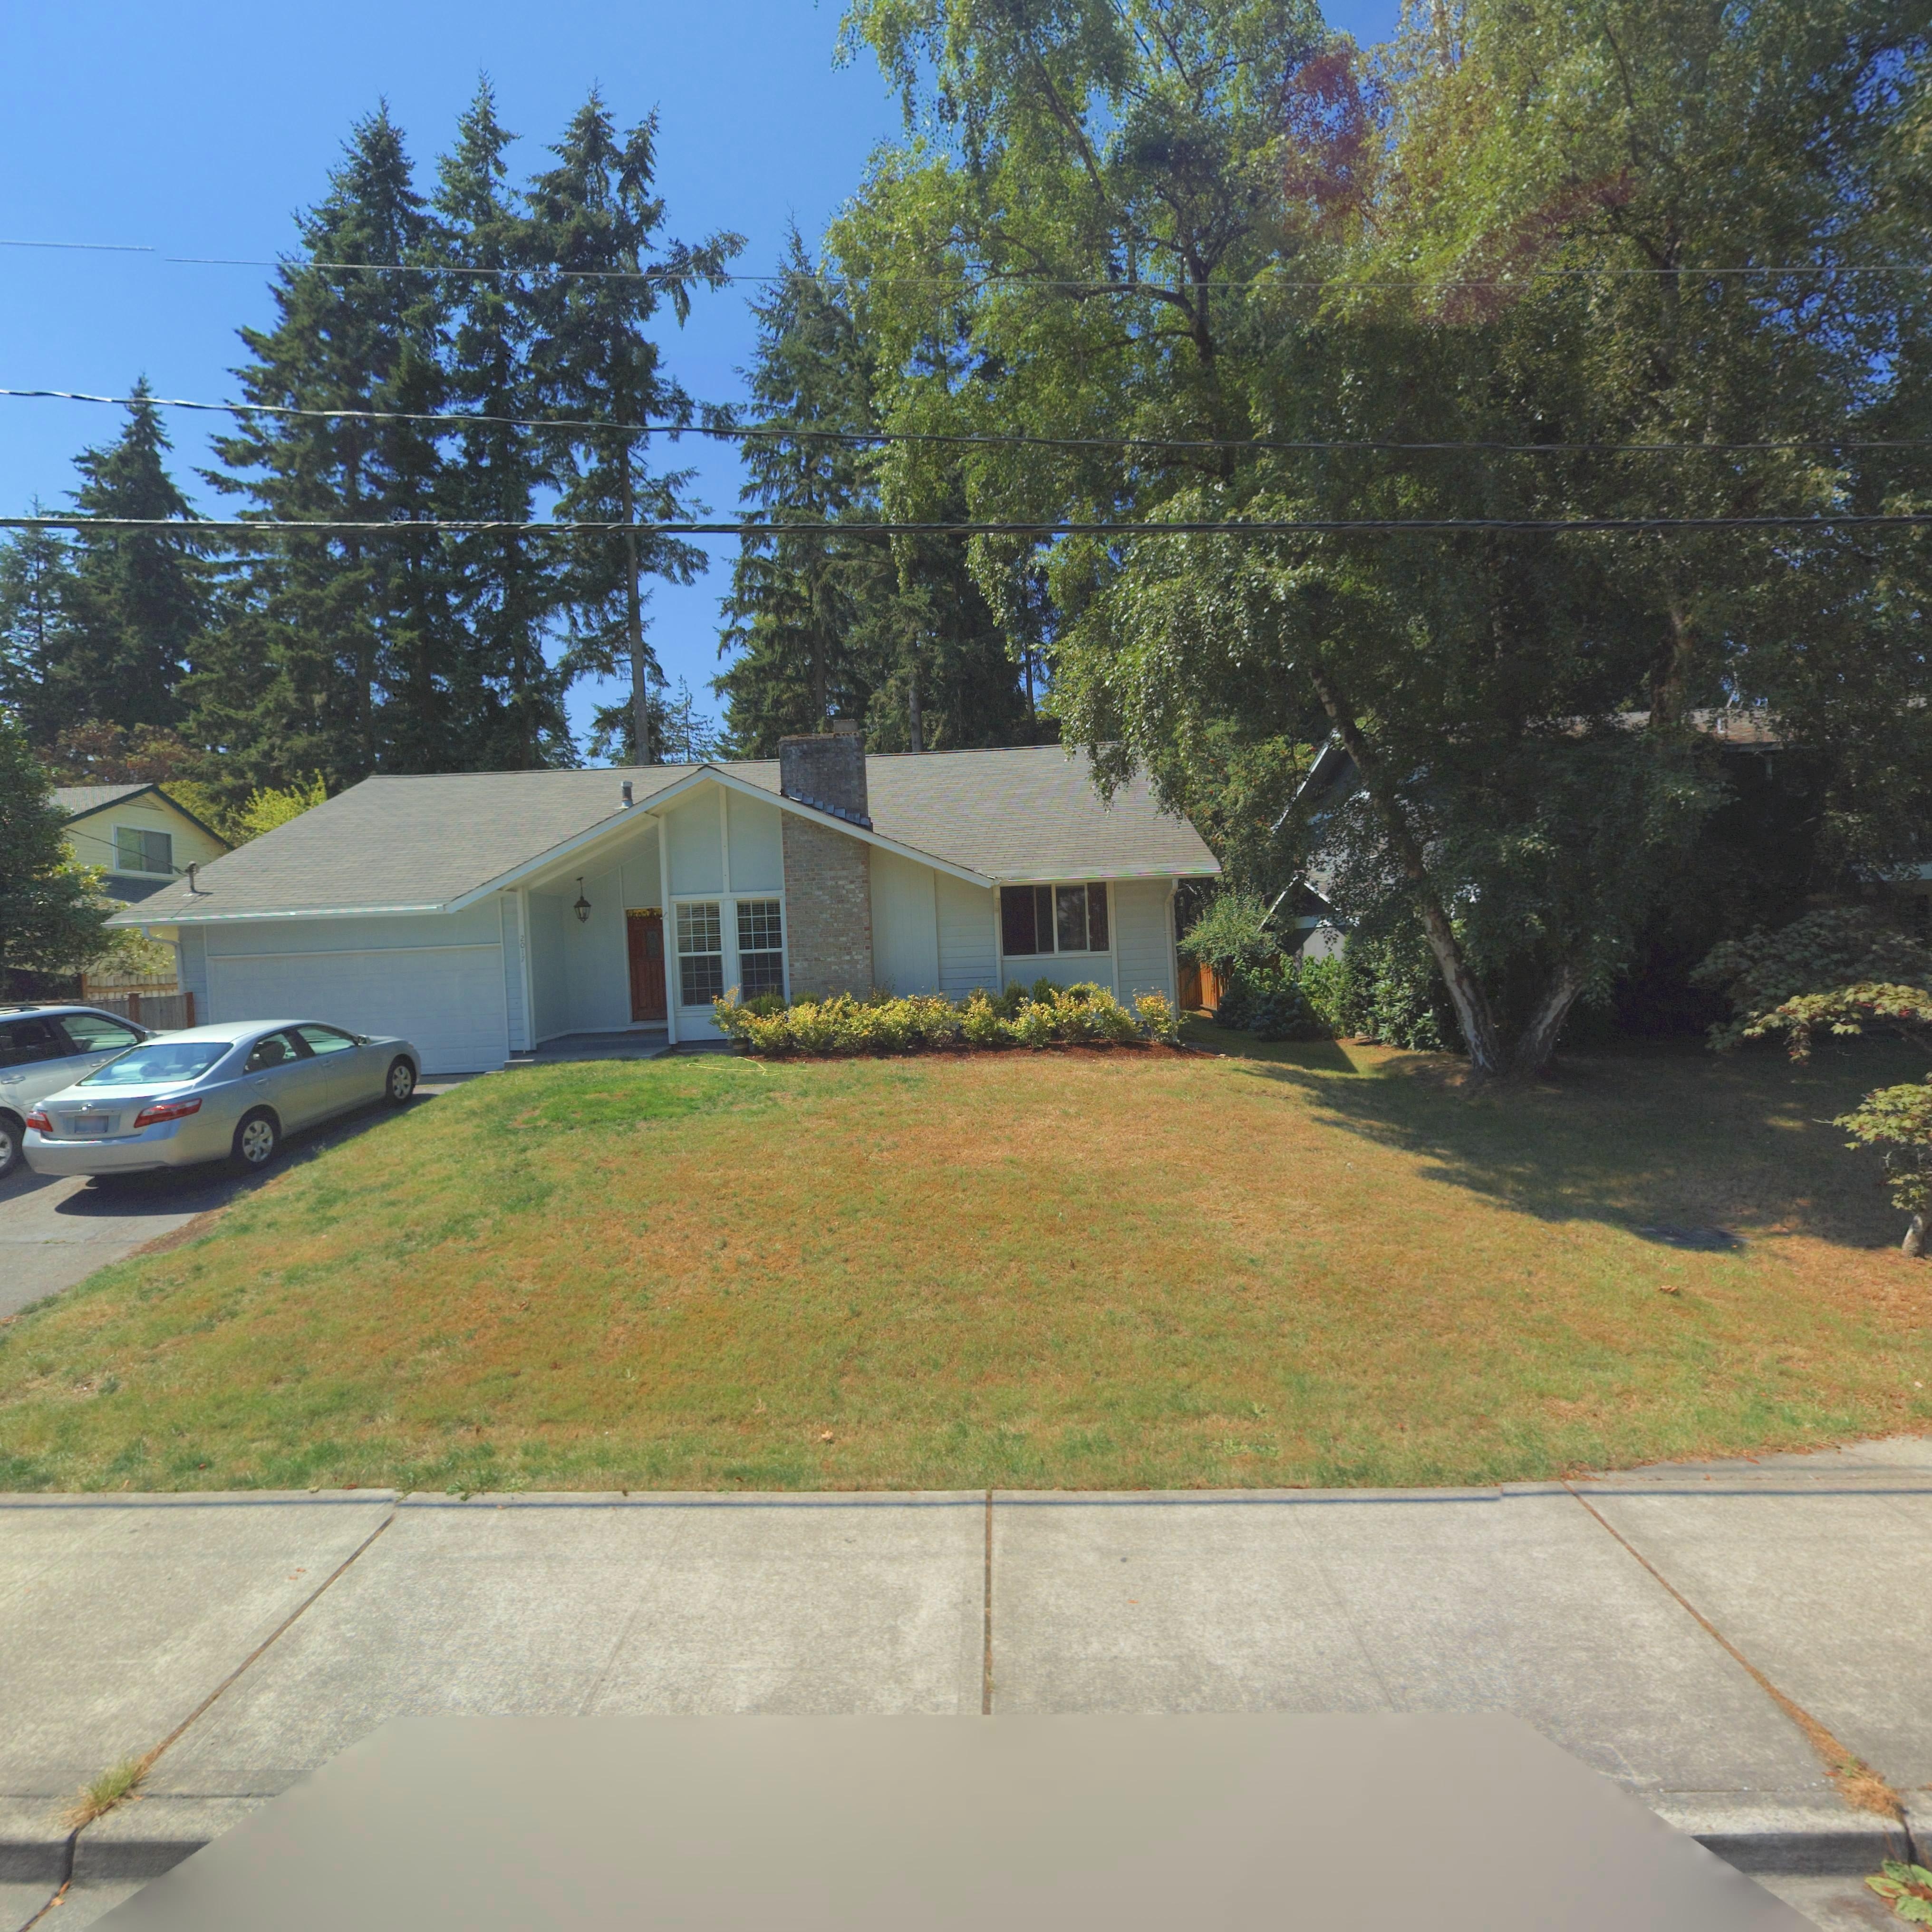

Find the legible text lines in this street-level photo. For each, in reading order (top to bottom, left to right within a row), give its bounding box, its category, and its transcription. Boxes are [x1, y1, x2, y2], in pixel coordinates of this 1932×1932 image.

[519, 934, 526, 963] StreetNumber: 2017